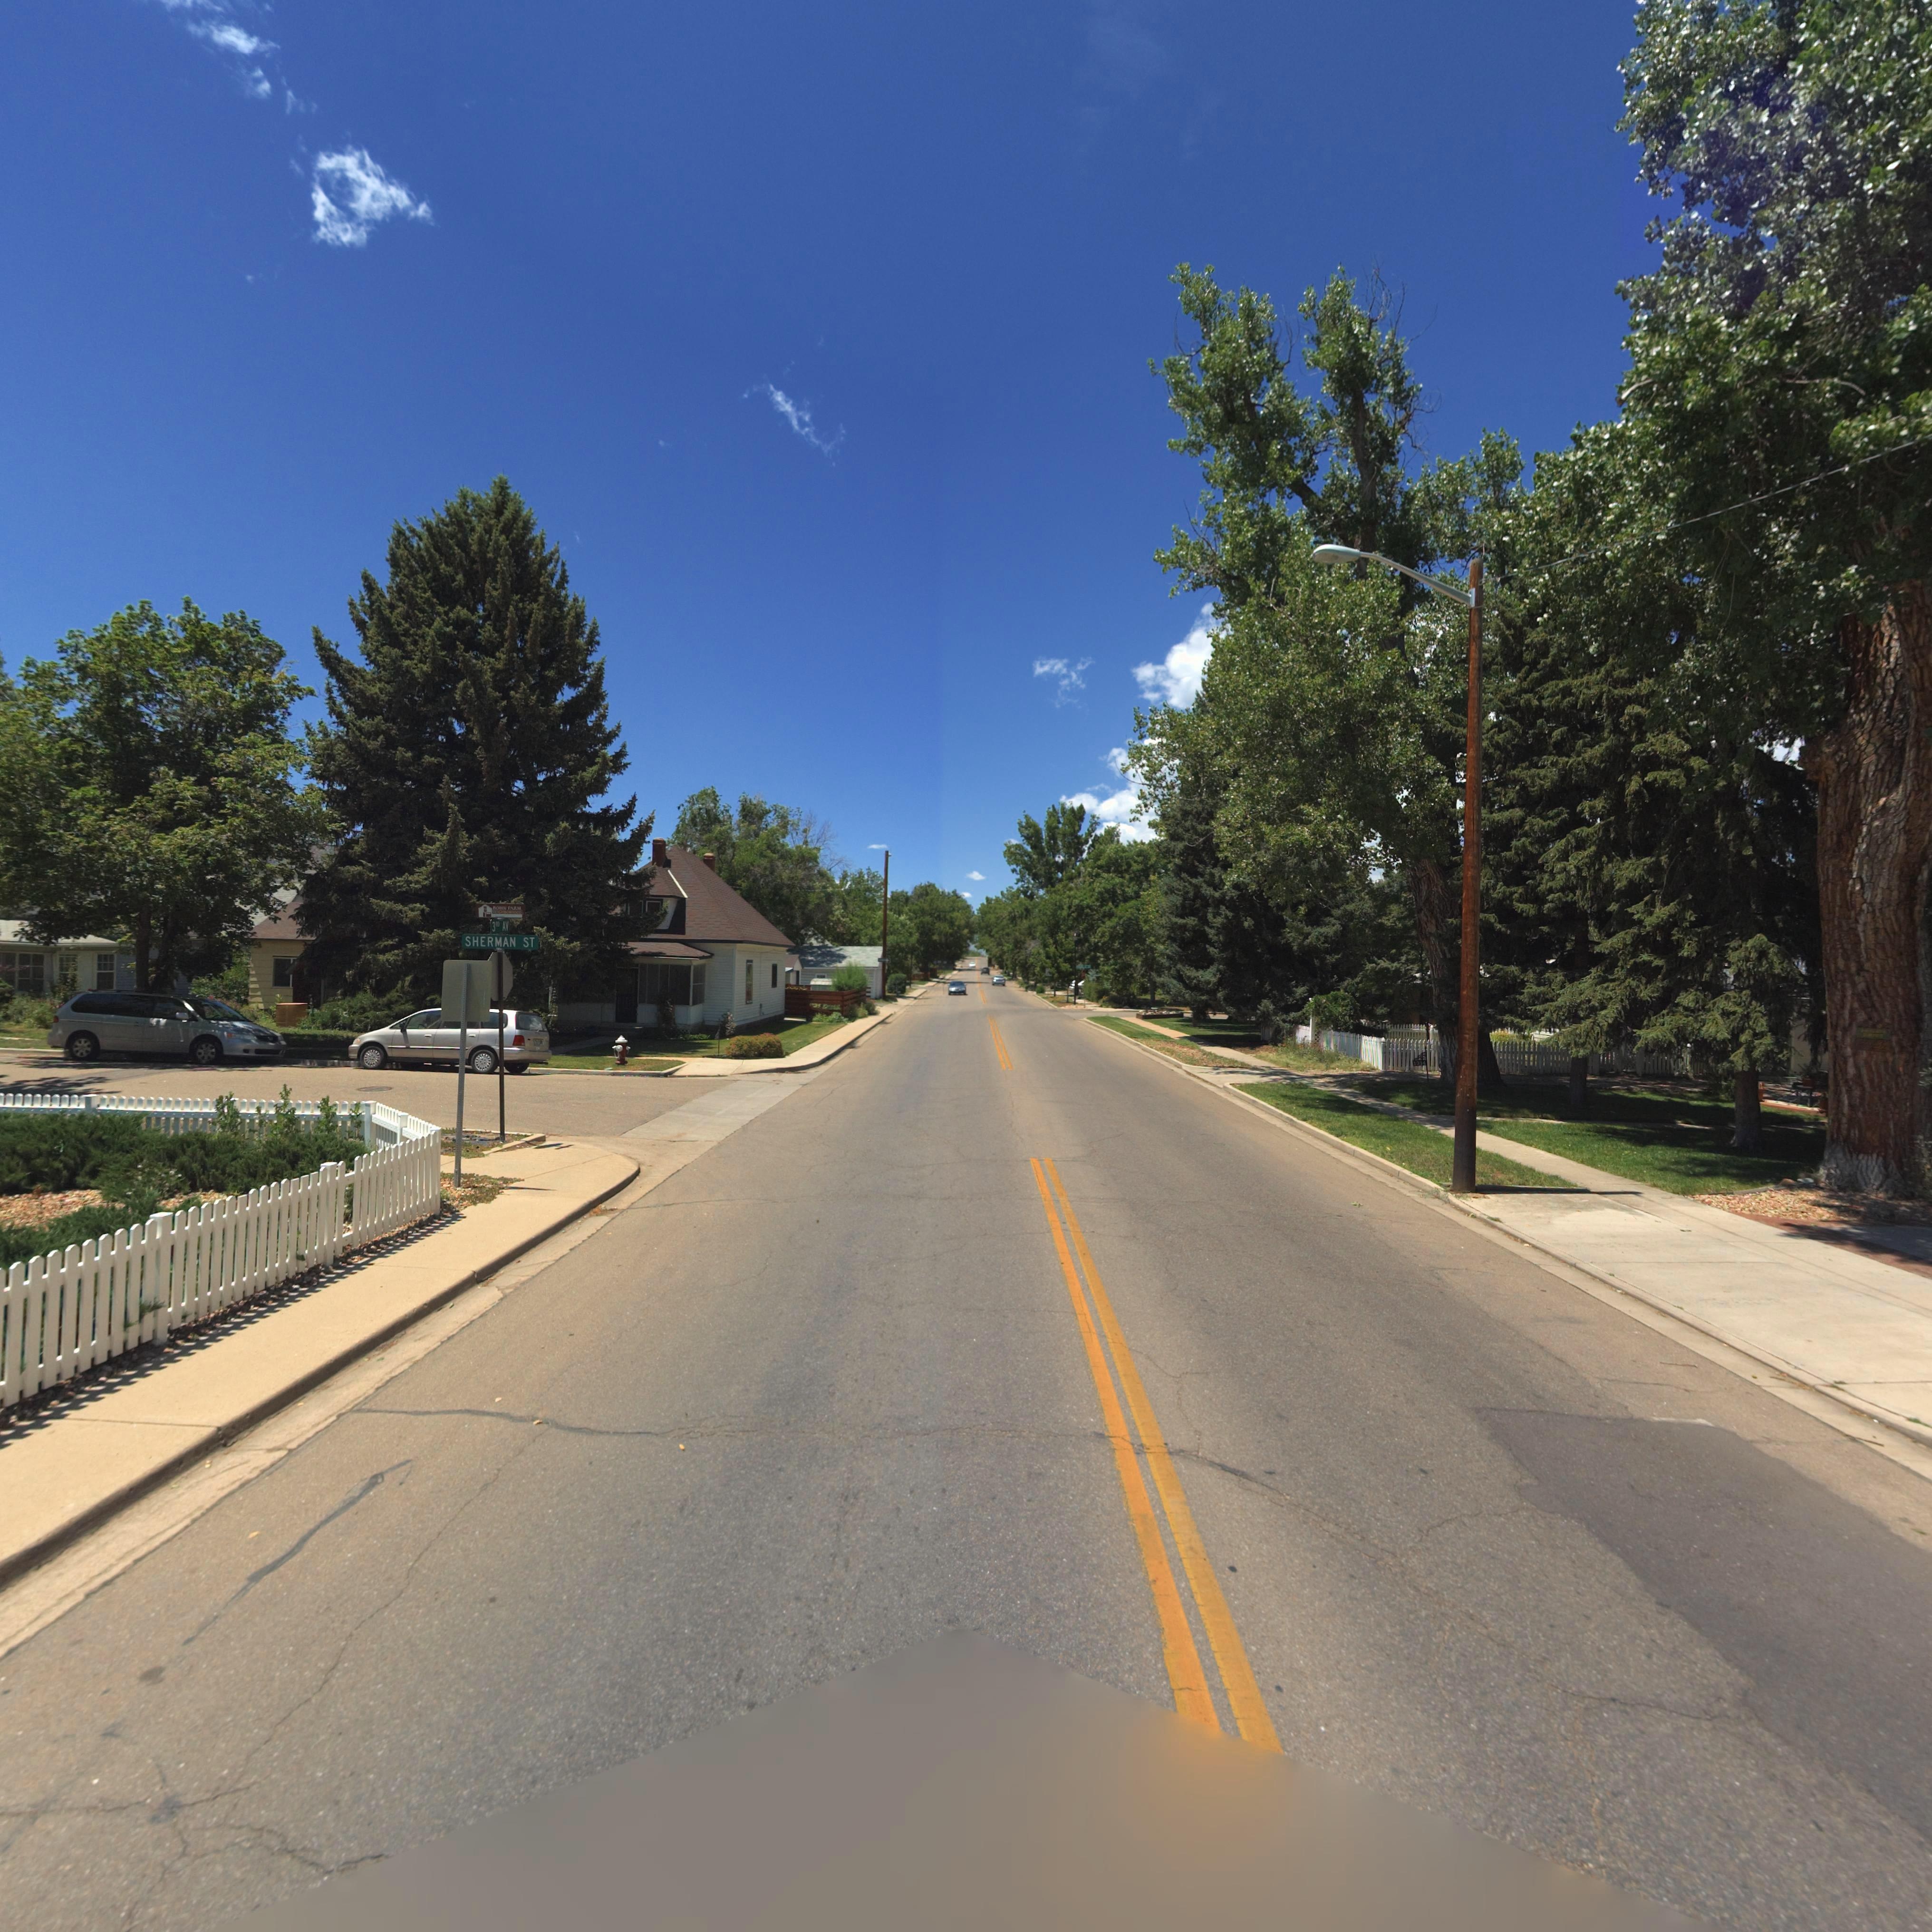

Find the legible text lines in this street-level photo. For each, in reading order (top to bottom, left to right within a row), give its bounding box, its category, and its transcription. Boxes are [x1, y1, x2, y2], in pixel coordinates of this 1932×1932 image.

[492, 920, 509, 932] StreetName: 3RD AV
[465, 936, 535, 947] StreetName: SHERMAN ST
[1413, 1061, 1425, 1065] StreetNumber: 1314